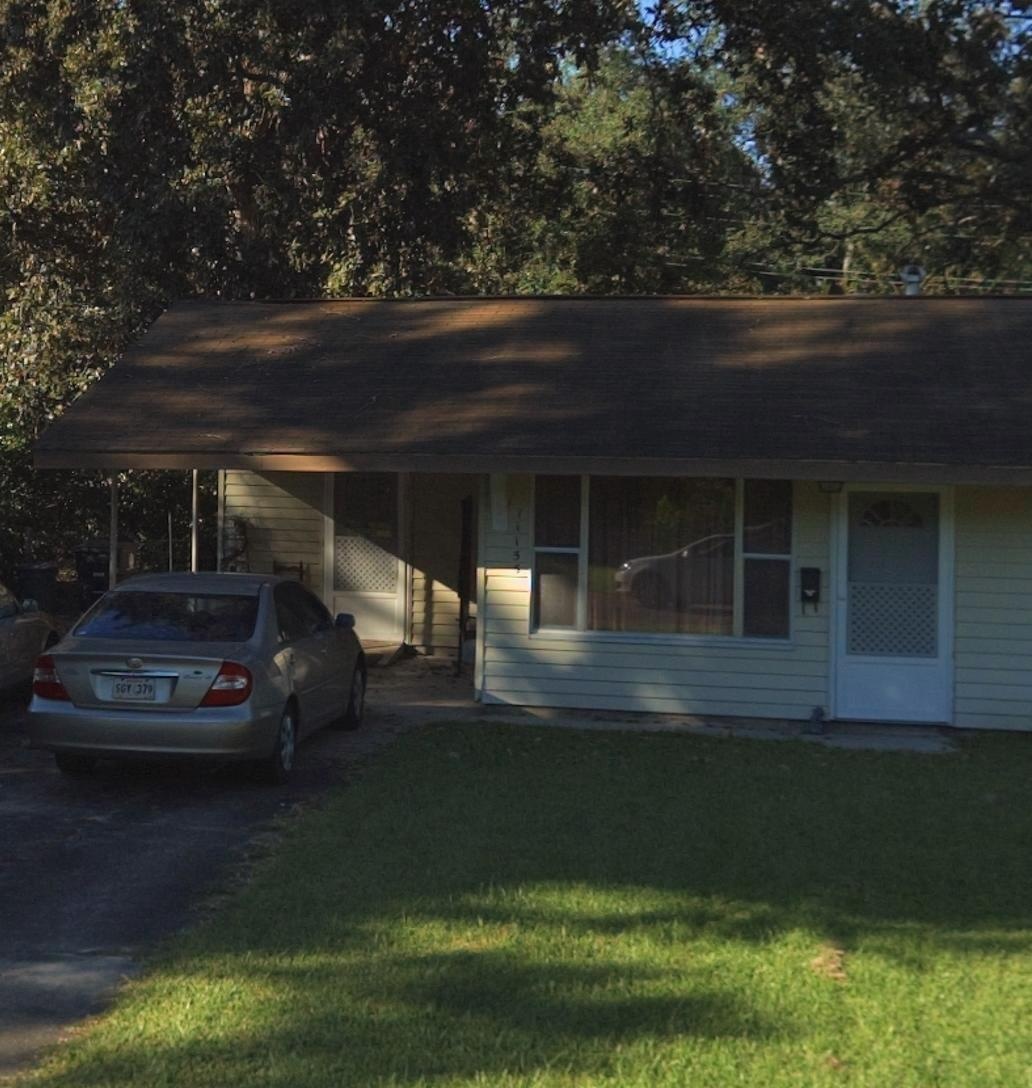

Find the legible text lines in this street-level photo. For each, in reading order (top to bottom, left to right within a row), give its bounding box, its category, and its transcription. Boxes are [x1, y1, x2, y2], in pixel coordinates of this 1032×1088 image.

[511, 505, 525, 575] StreetNumber: 11155
[115, 683, 153, 694] None: SG**379